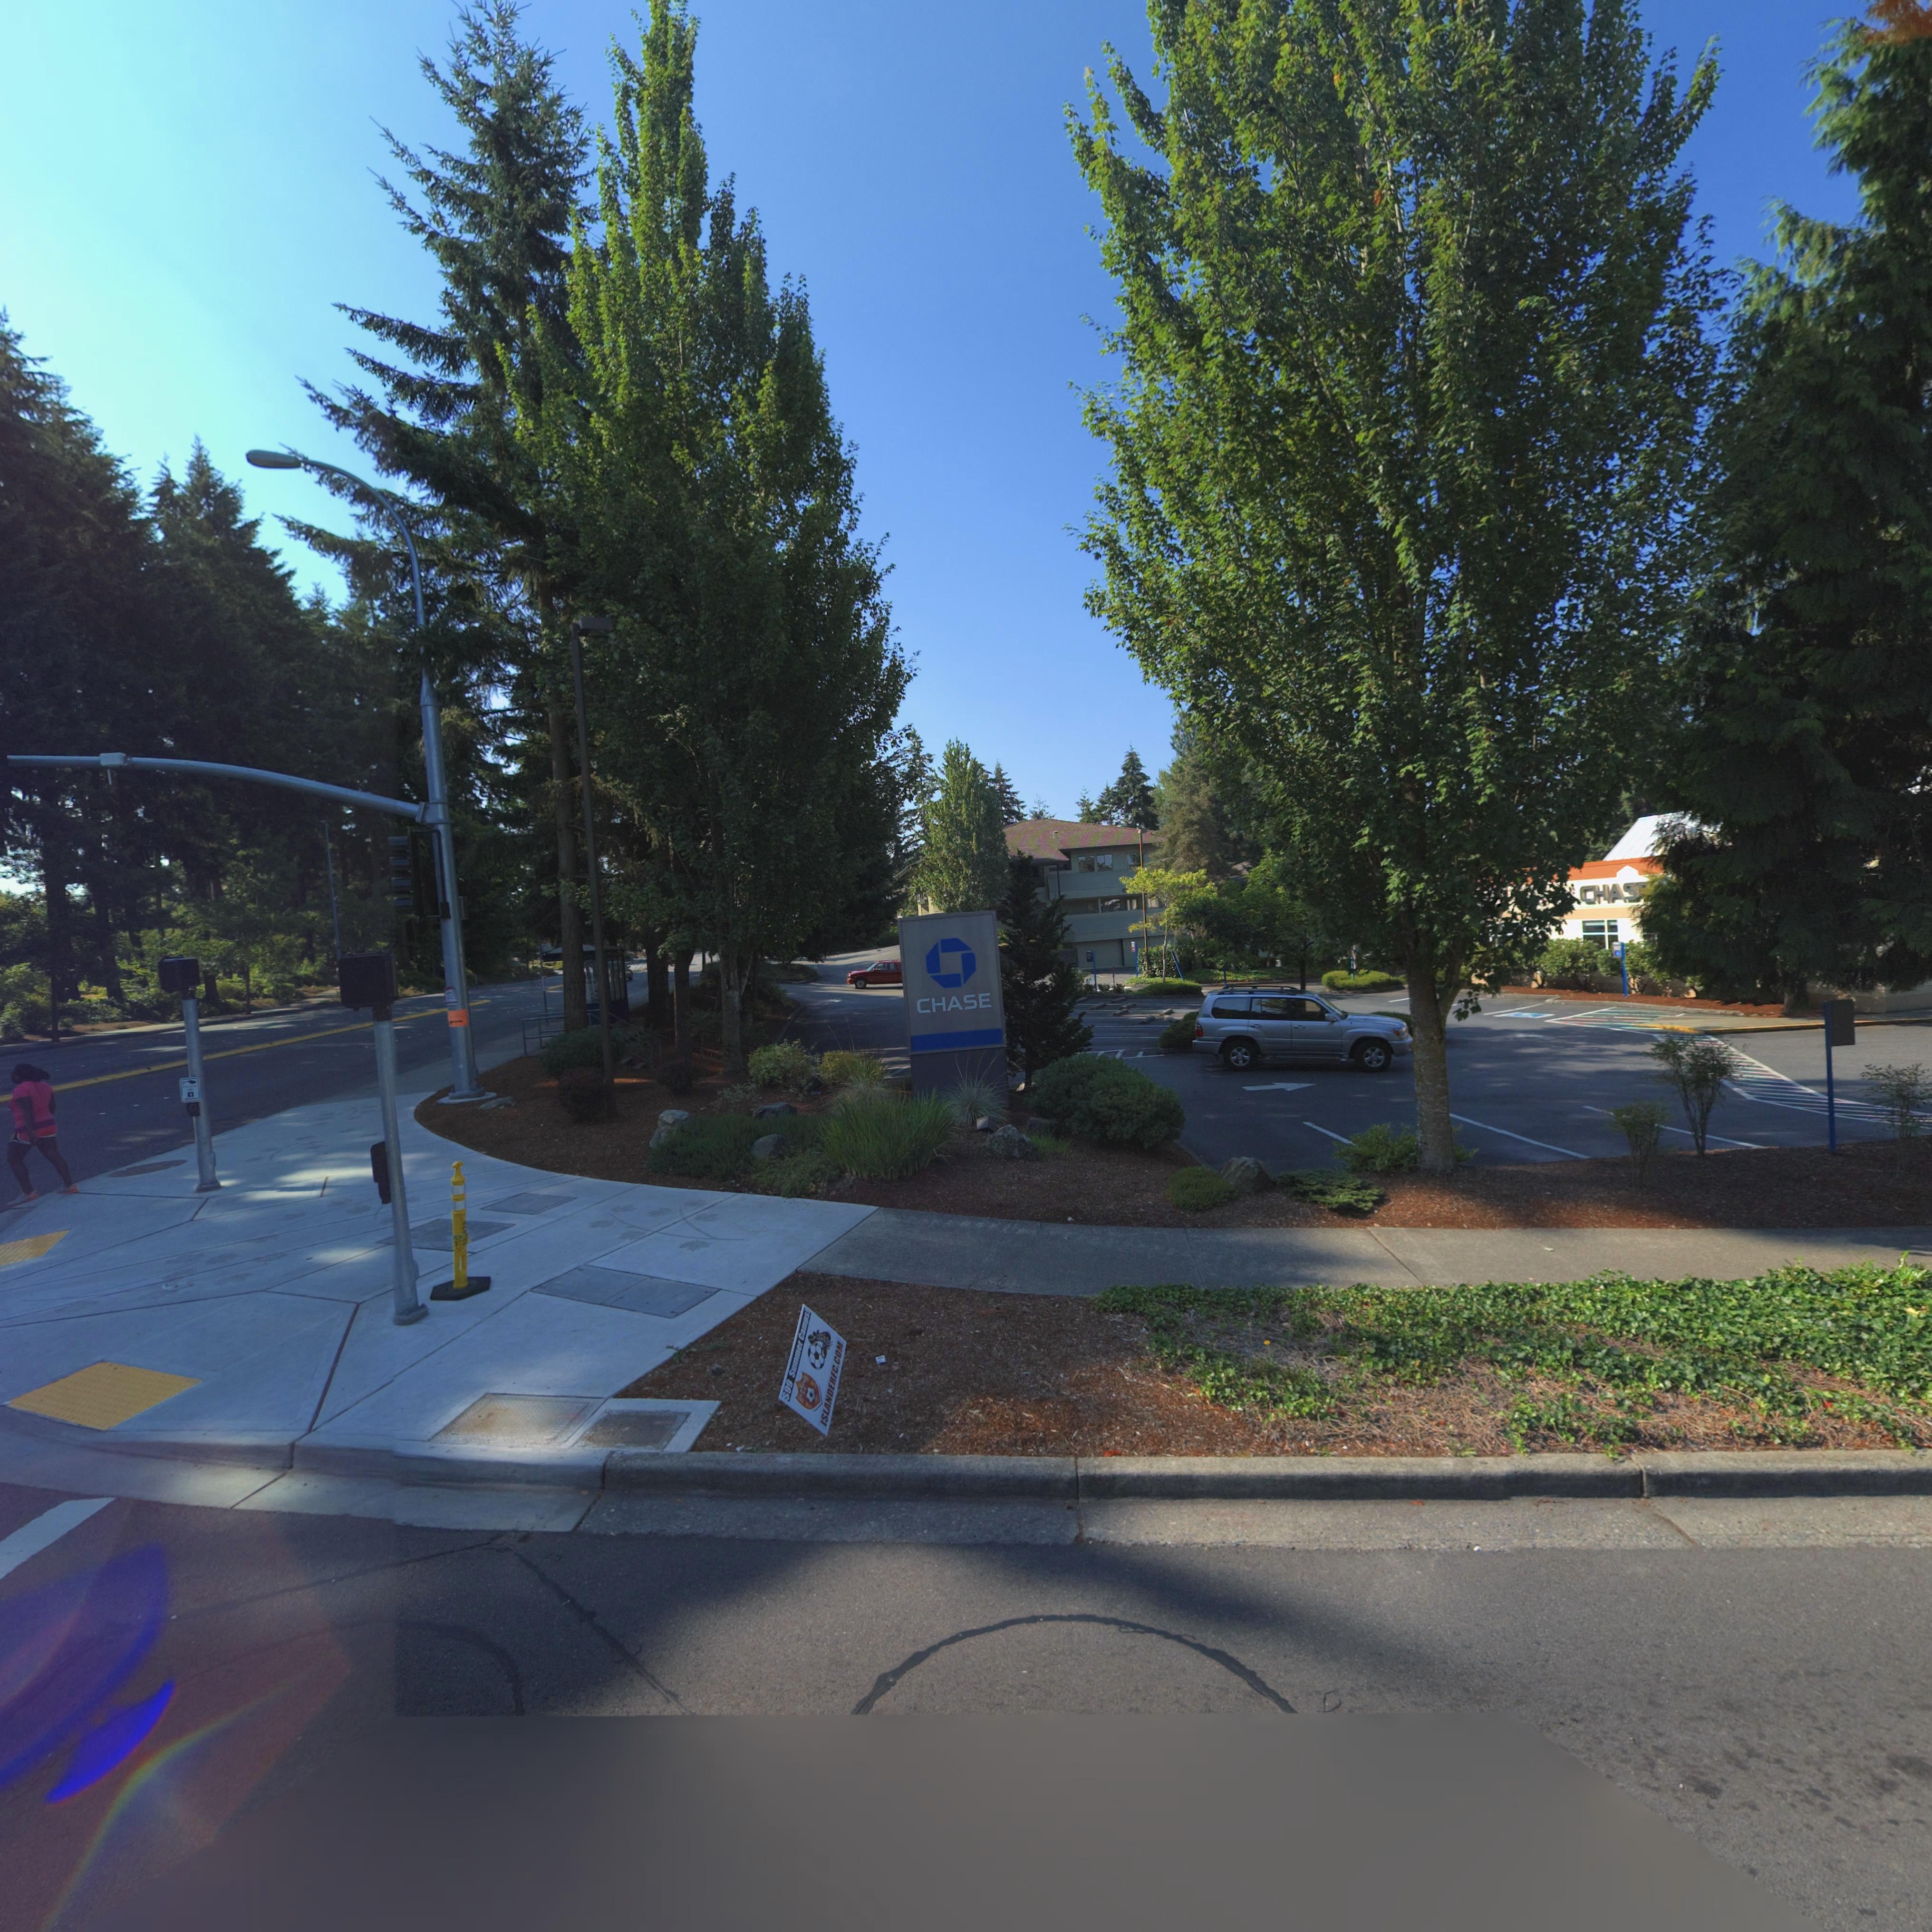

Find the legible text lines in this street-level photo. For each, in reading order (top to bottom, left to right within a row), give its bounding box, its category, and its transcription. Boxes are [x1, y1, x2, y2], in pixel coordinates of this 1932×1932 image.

[1579, 881, 1646, 901] BusinessName: CHAS*
[916, 993, 991, 1013] BusinessName: CHASE